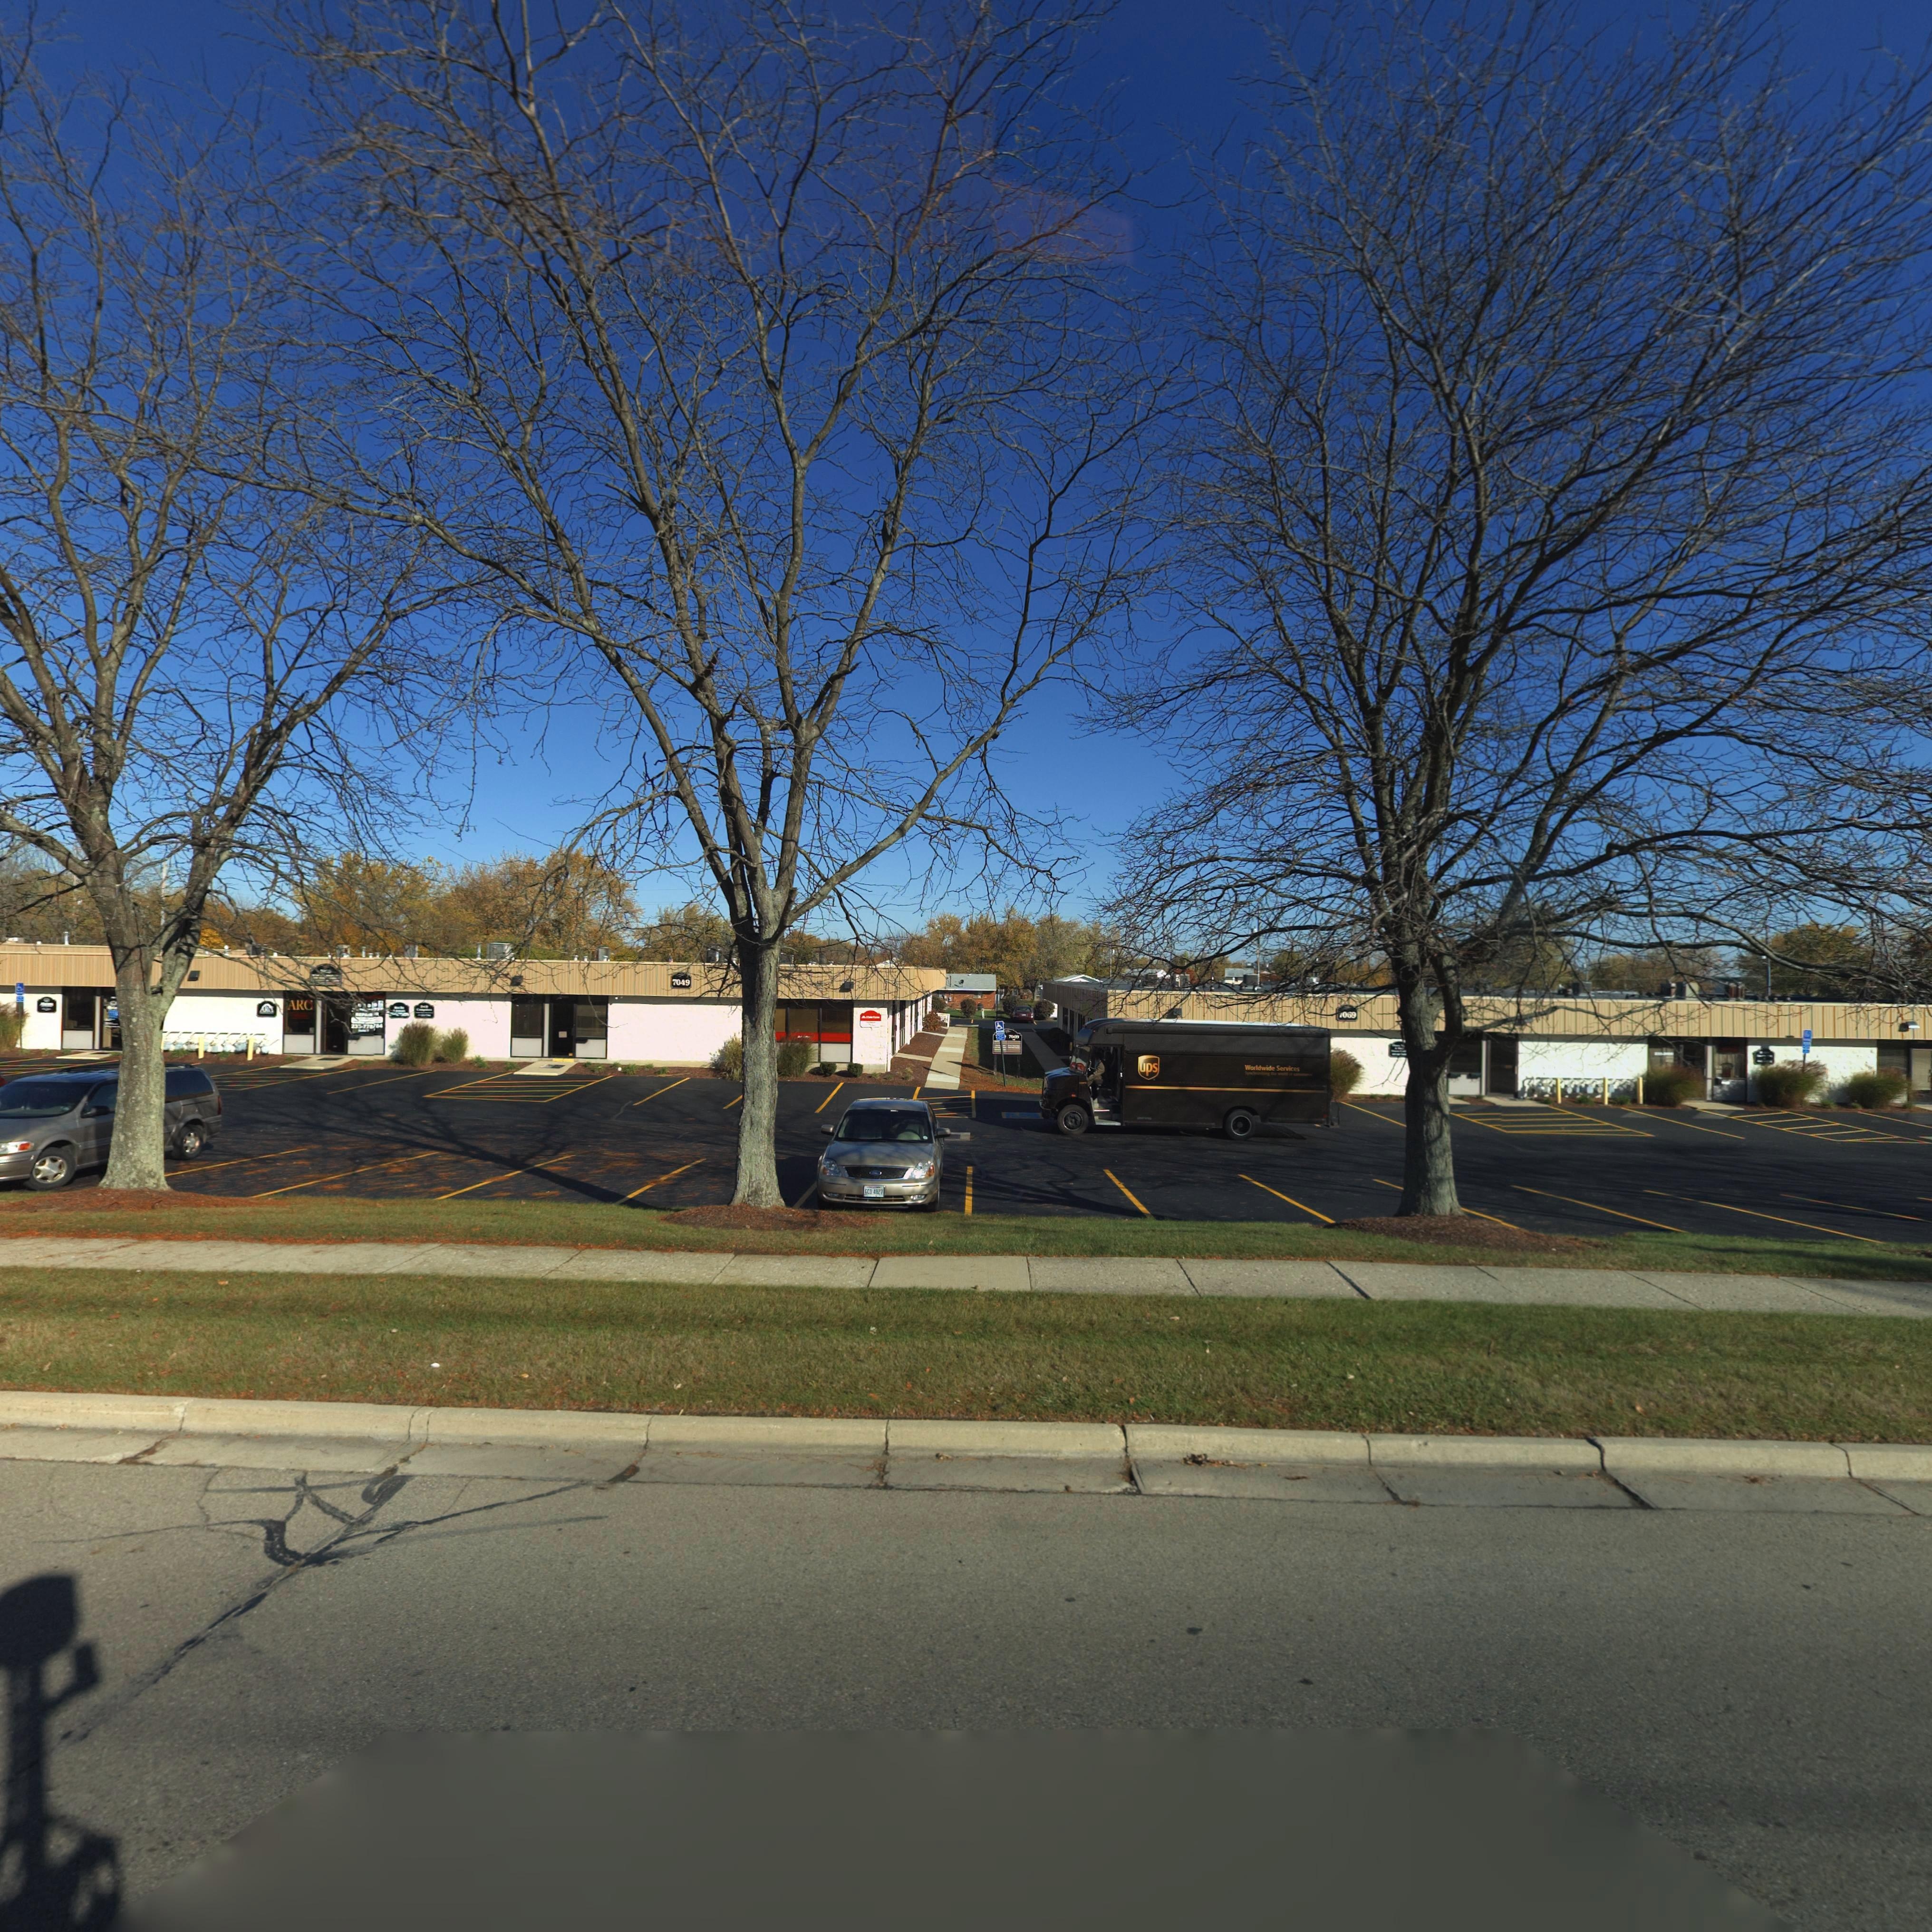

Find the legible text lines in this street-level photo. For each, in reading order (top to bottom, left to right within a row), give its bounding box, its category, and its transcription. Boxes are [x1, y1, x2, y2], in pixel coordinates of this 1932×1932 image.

[671, 978, 691, 987] StreetNumber: 7049
[285, 998, 313, 1011] BusinessName: ARC
[1341, 1010, 1358, 1020] StreetNumber: 069
[1007, 1034, 1021, 1040] StreetNumber: 70**